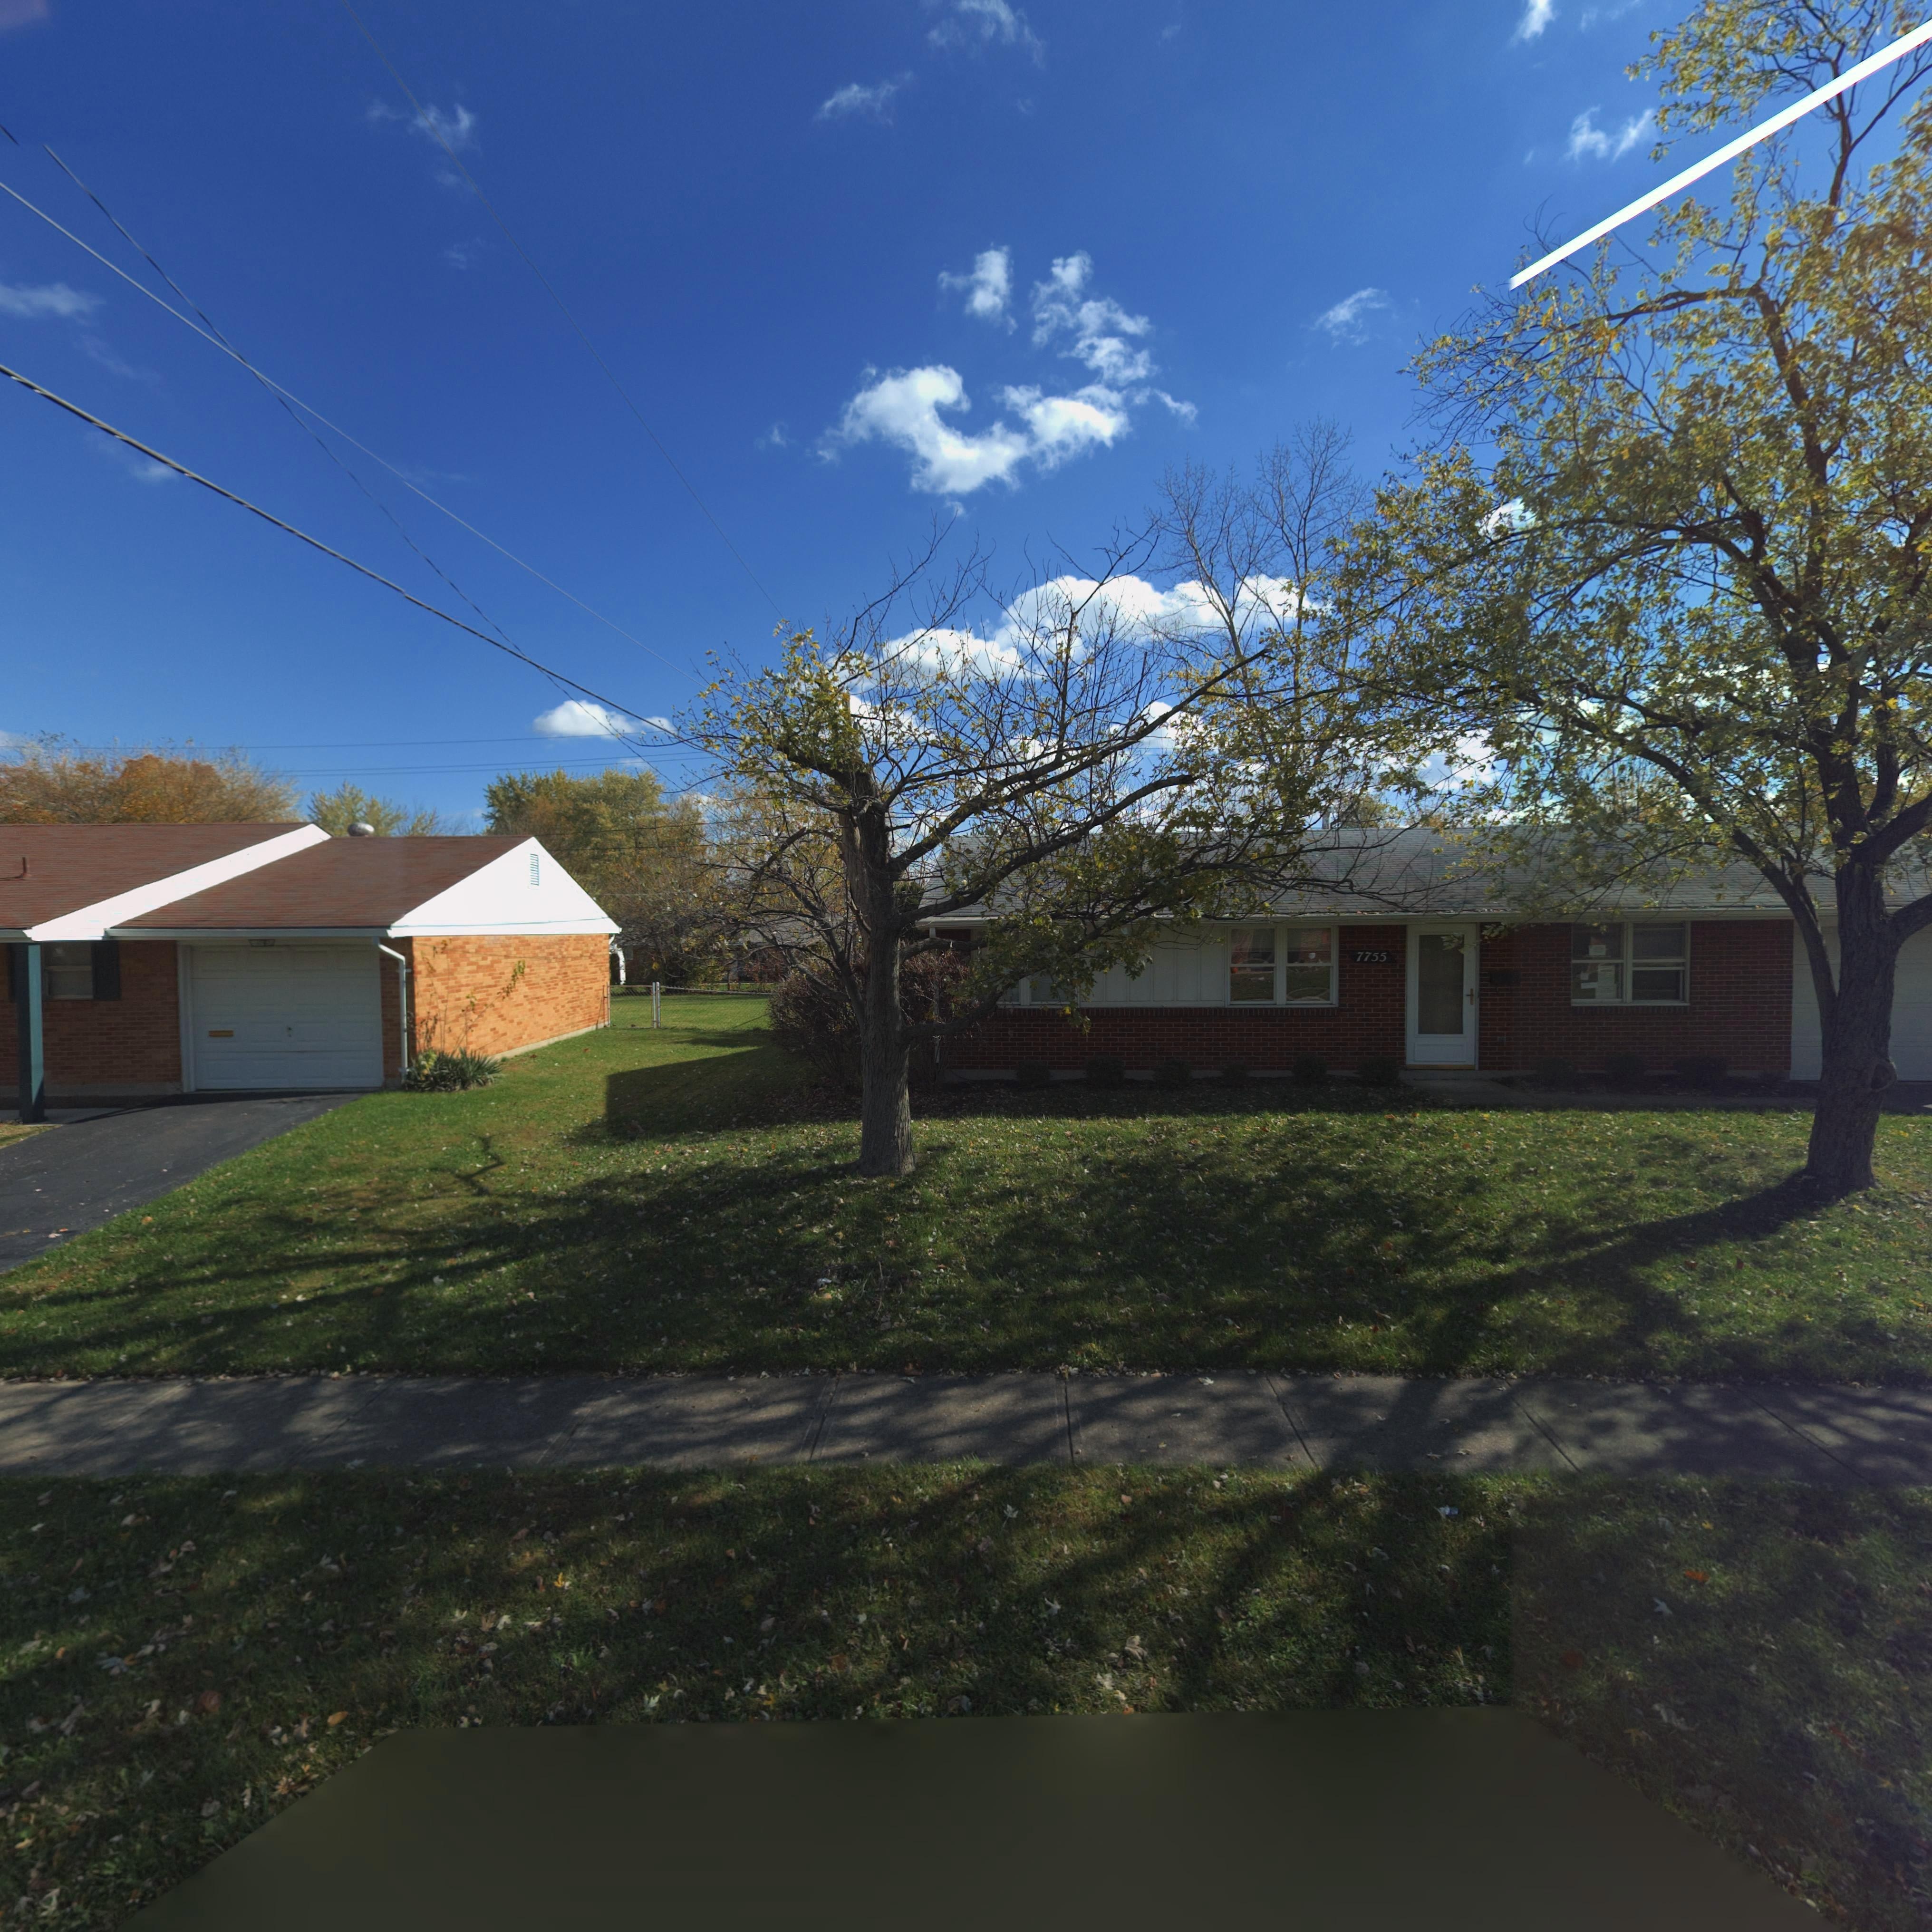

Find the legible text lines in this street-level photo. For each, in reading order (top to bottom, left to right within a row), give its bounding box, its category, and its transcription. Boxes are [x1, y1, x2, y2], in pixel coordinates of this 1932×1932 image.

[1355, 951, 1389, 963] StreetNumber: 7755